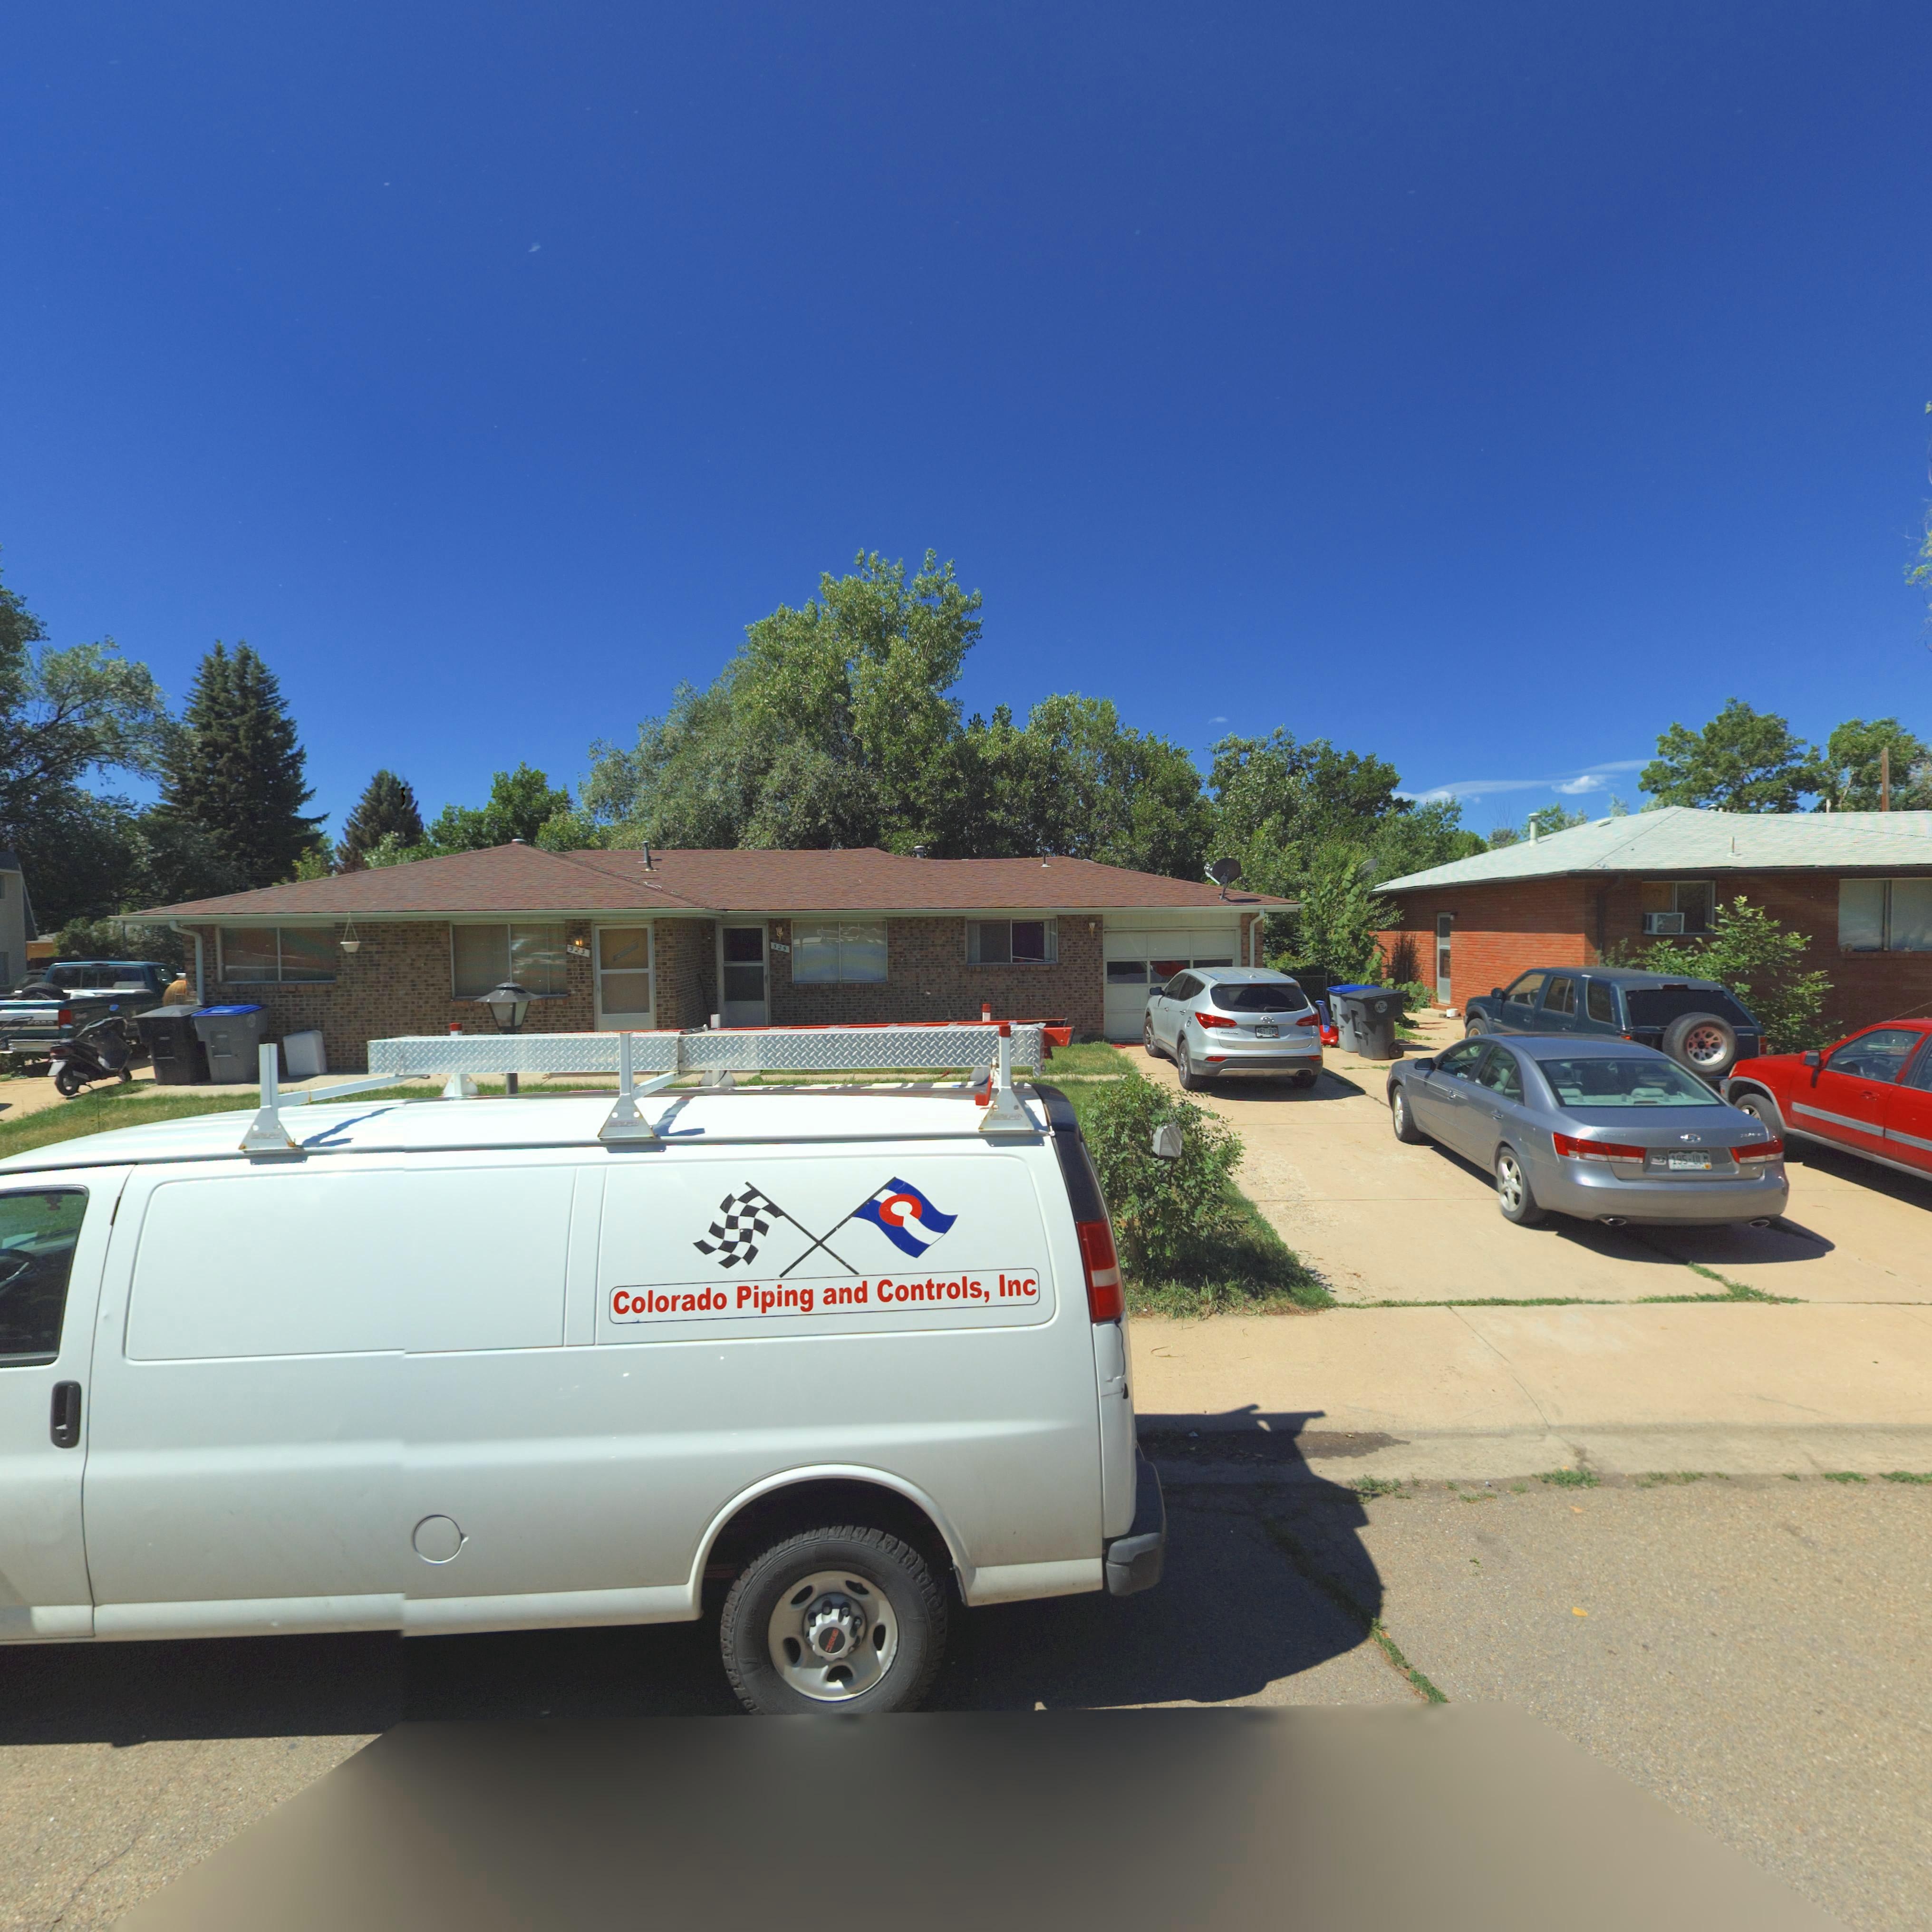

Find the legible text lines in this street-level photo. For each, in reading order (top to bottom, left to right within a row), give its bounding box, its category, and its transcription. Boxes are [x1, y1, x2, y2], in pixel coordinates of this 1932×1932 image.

[568, 945, 586, 955] StreetNumber: 323
[772, 943, 787, 951] StreetNumber: 325